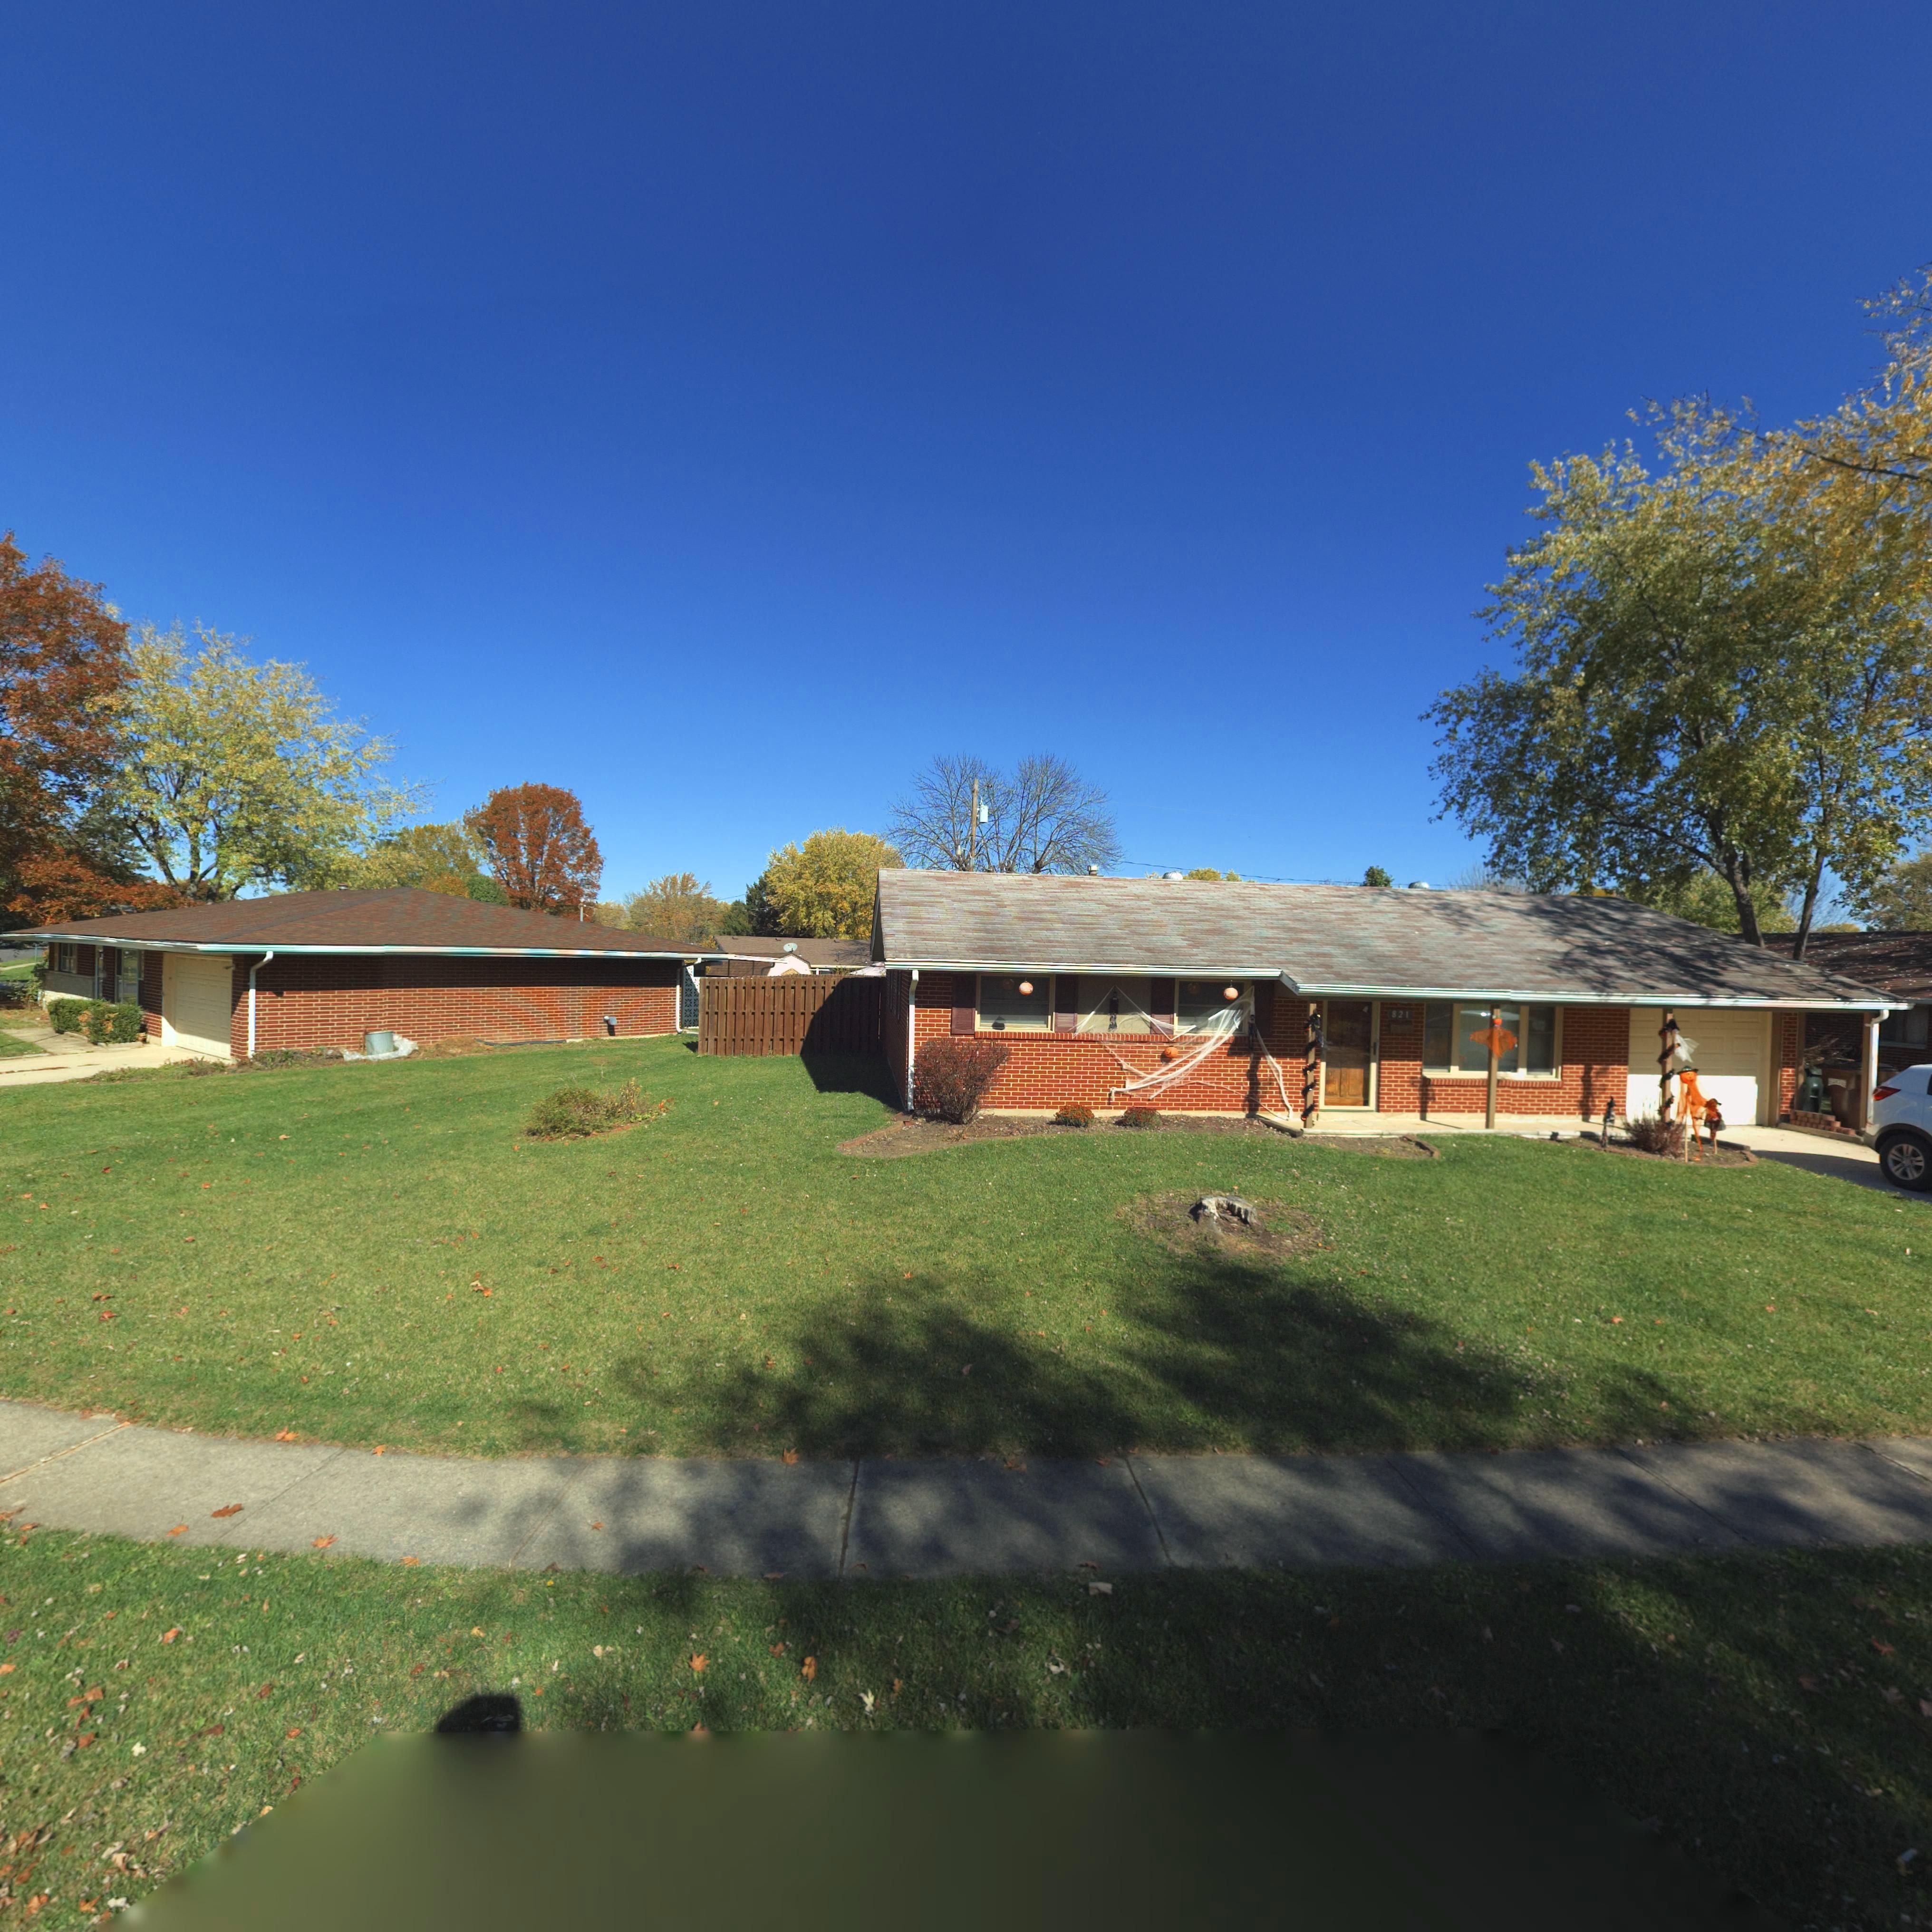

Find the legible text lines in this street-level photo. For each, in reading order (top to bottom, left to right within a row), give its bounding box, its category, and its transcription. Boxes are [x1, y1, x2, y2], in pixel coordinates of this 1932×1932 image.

[1391, 1010, 1409, 1019] StreetNumber: 821